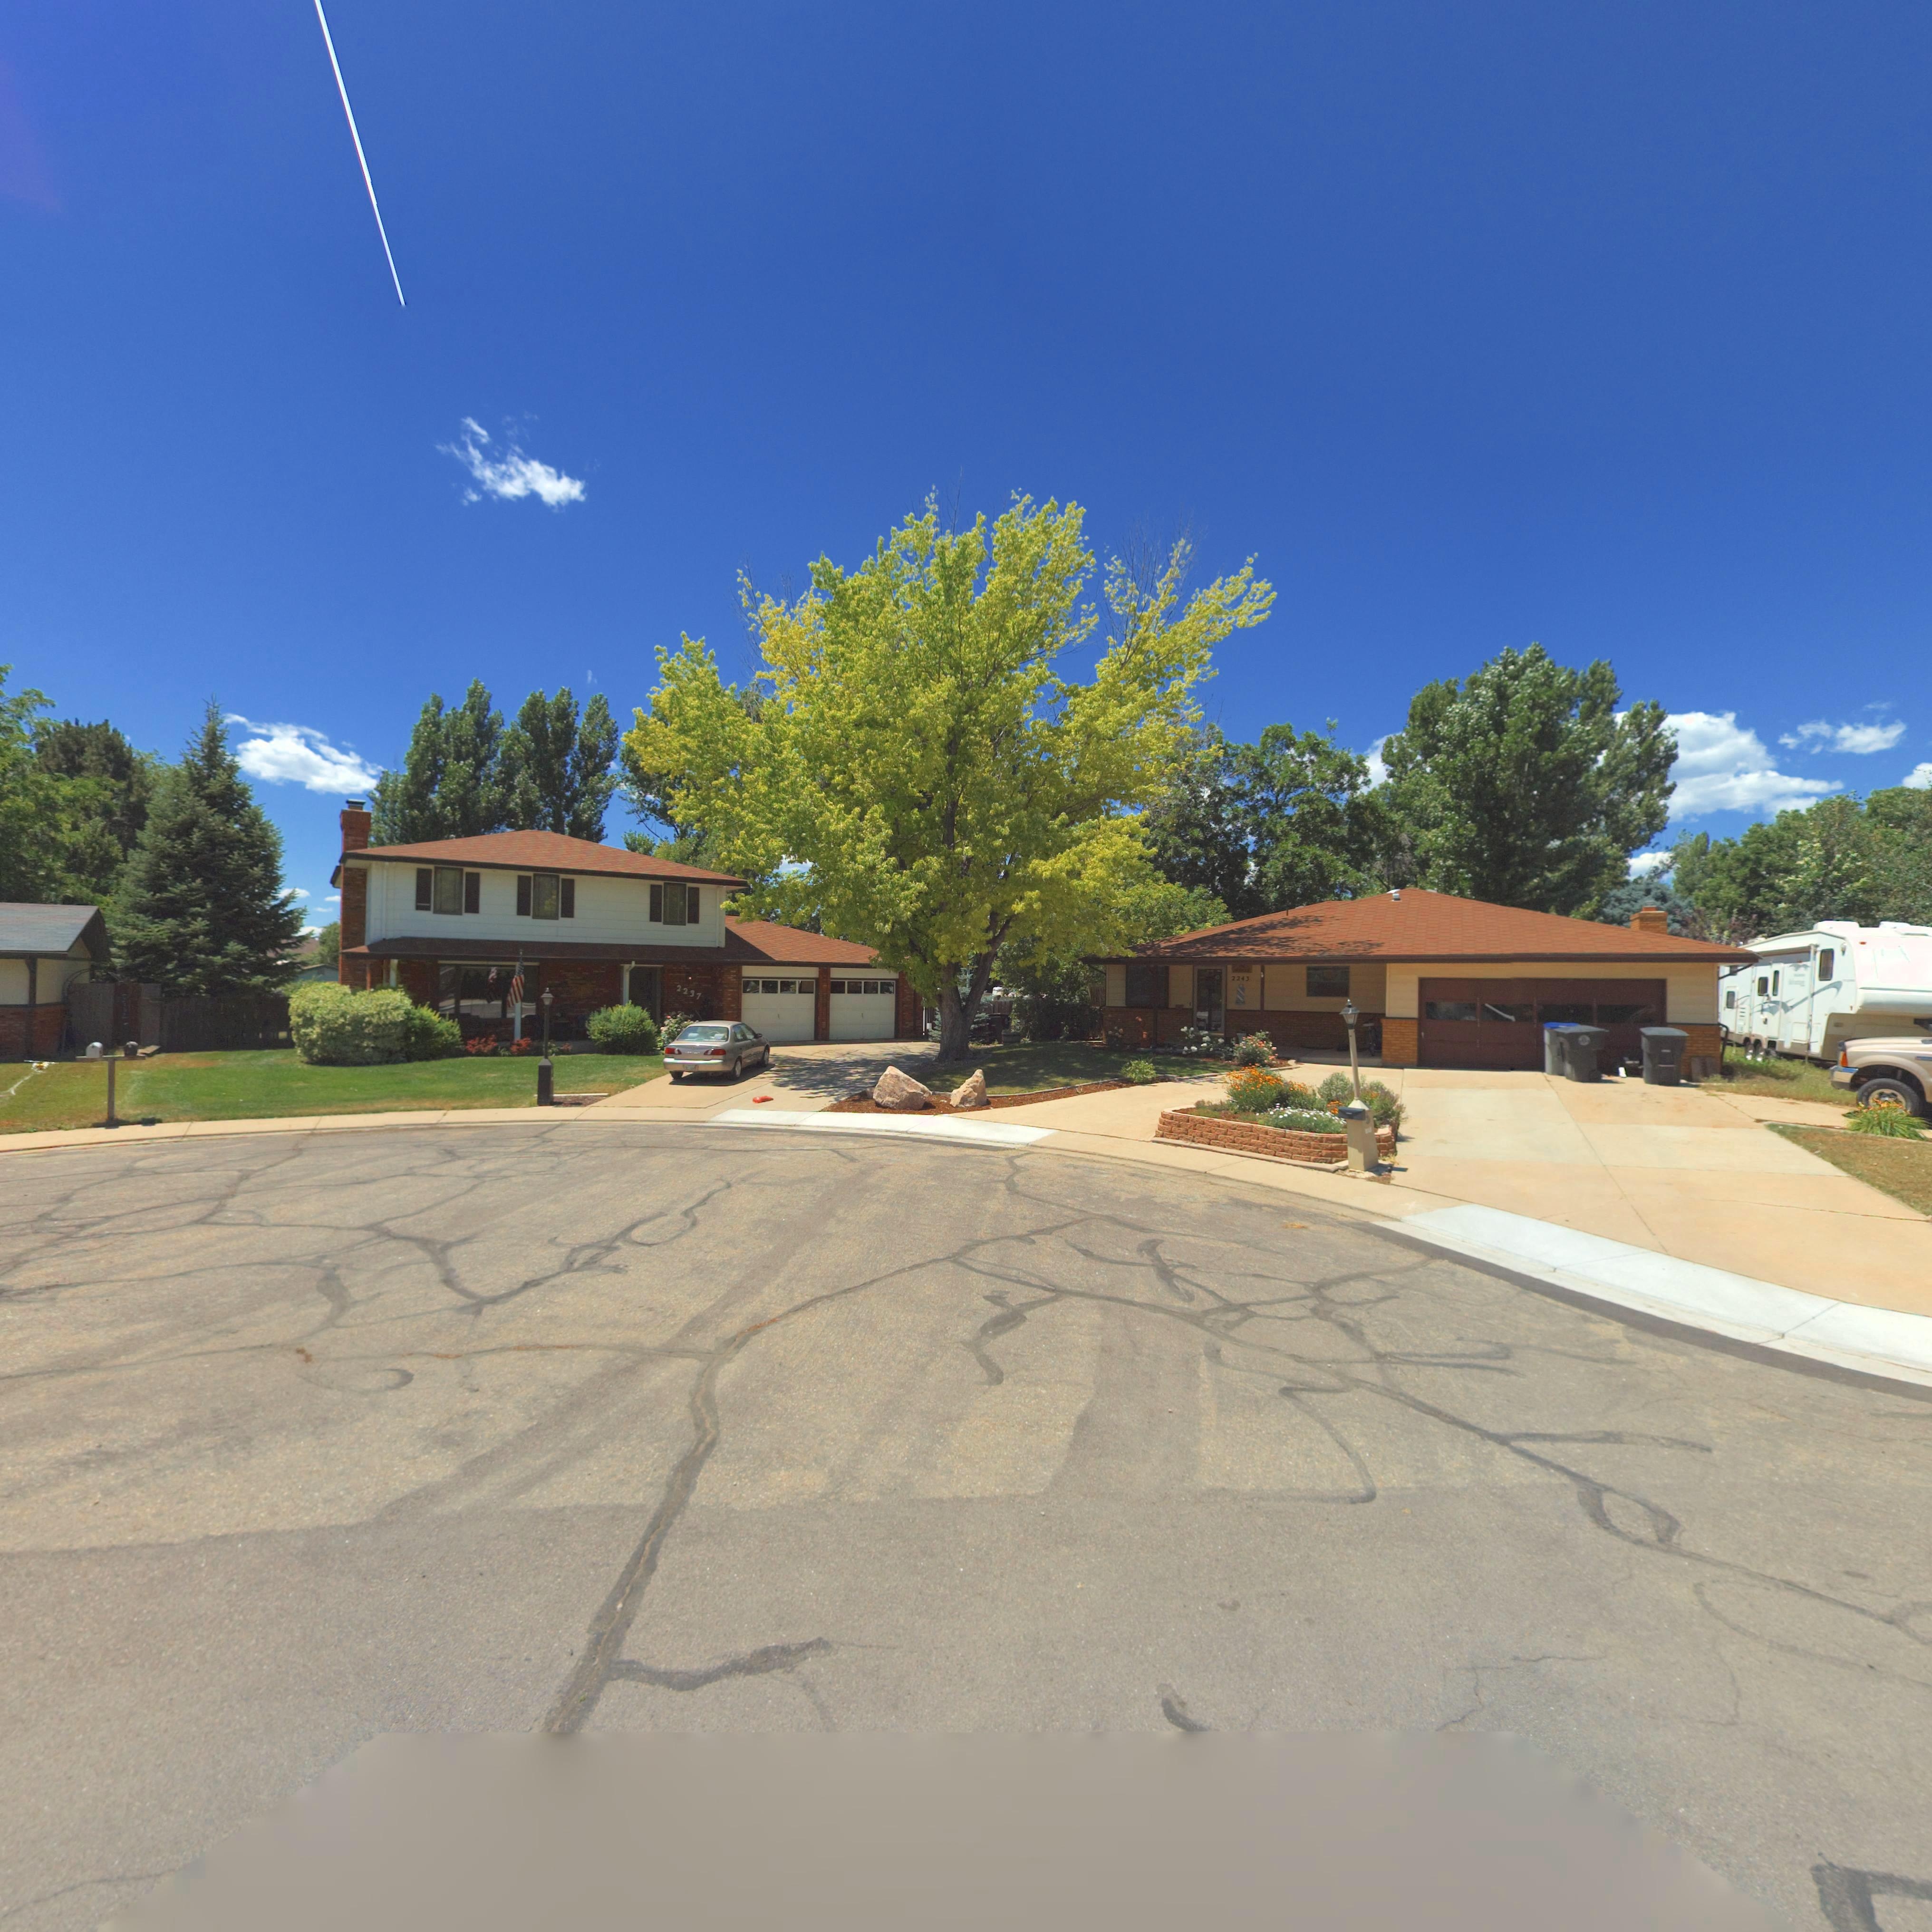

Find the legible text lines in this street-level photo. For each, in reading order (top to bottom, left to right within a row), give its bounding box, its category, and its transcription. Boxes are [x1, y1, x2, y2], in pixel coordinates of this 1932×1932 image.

[1231, 975, 1249, 981] StreetNumber: 2243
[676, 984, 702, 1000] StreetNumber: 2237